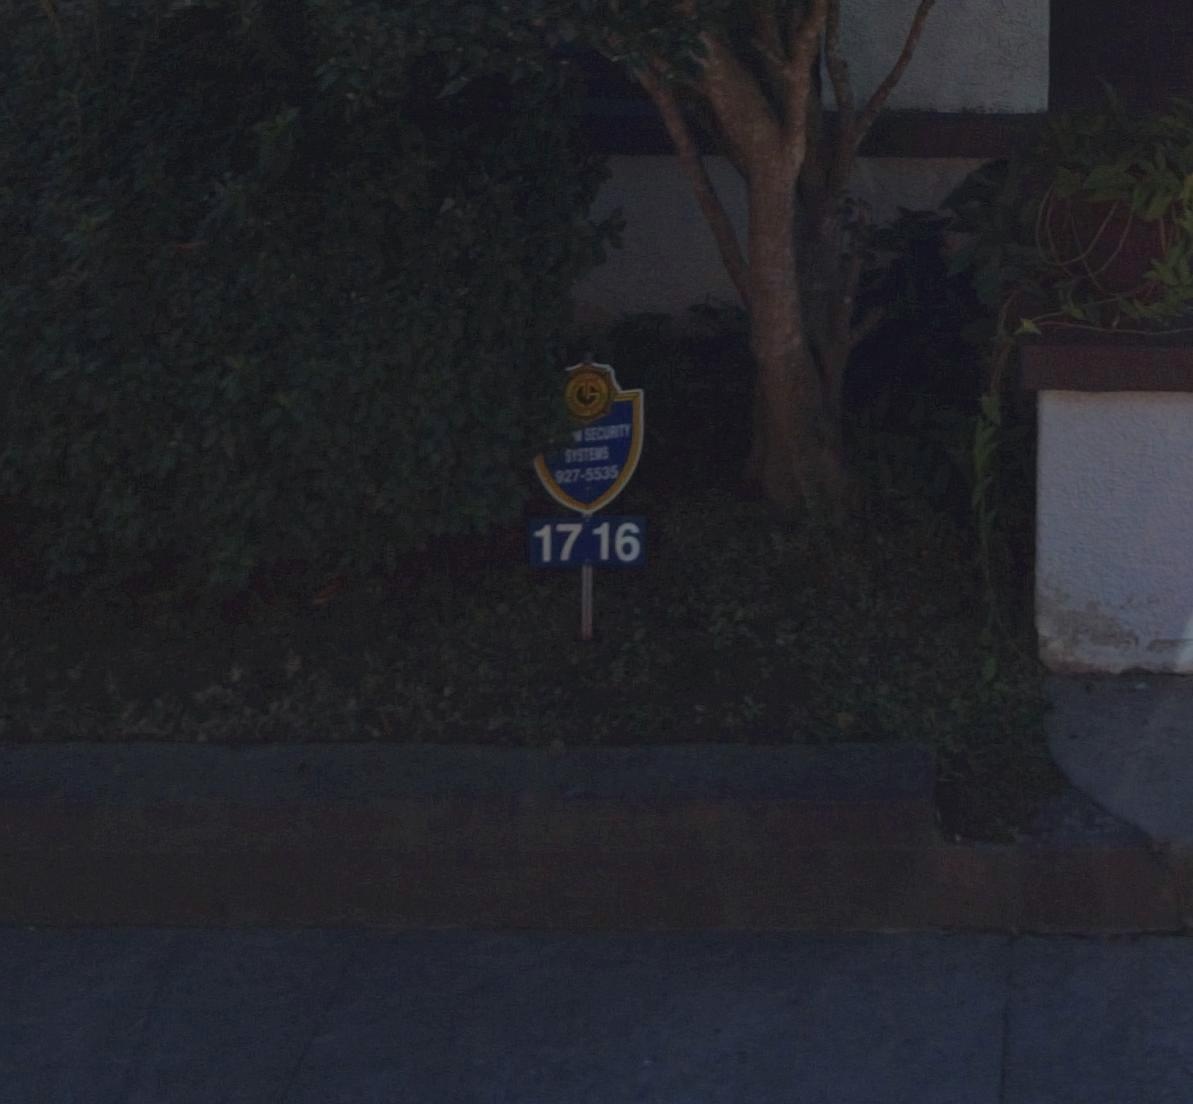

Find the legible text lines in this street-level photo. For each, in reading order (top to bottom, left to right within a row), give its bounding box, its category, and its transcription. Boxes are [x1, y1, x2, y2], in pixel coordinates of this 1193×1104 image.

[529, 518, 644, 567] StreetNumber: 17 16